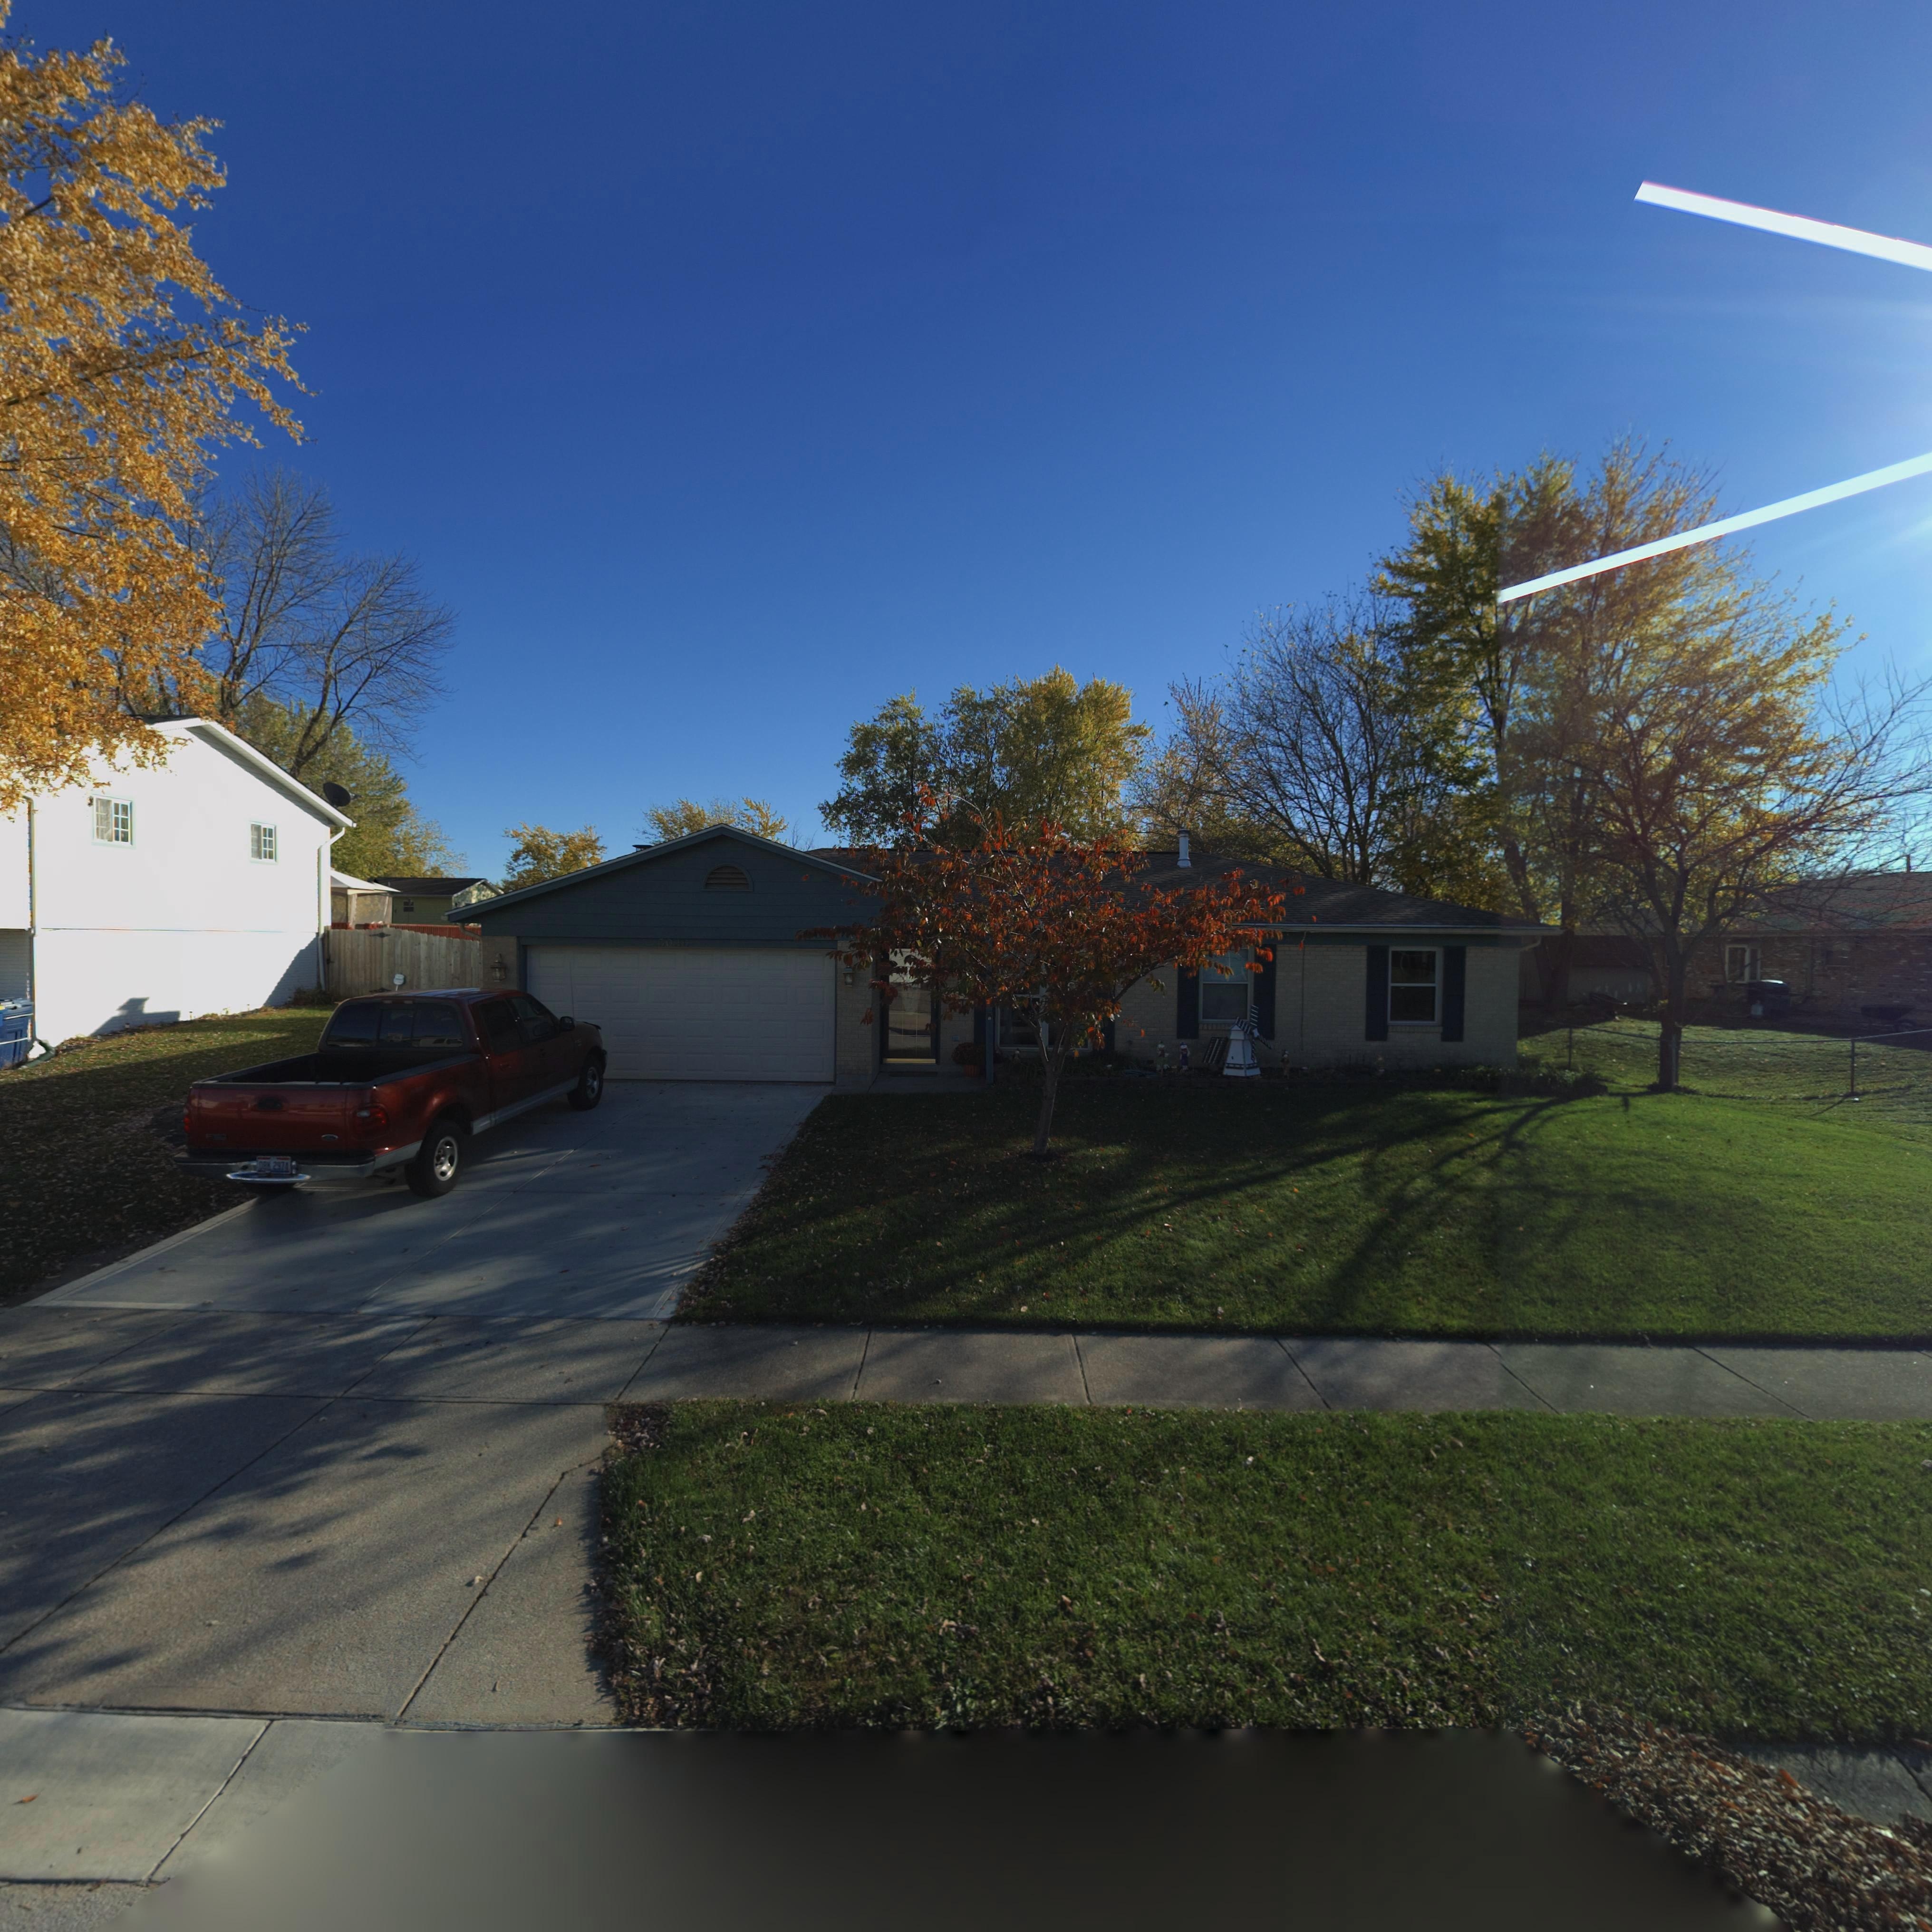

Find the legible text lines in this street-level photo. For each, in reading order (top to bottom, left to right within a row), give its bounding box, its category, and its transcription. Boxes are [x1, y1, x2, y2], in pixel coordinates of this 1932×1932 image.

[657, 937, 690, 948] StreetNumber: 5030